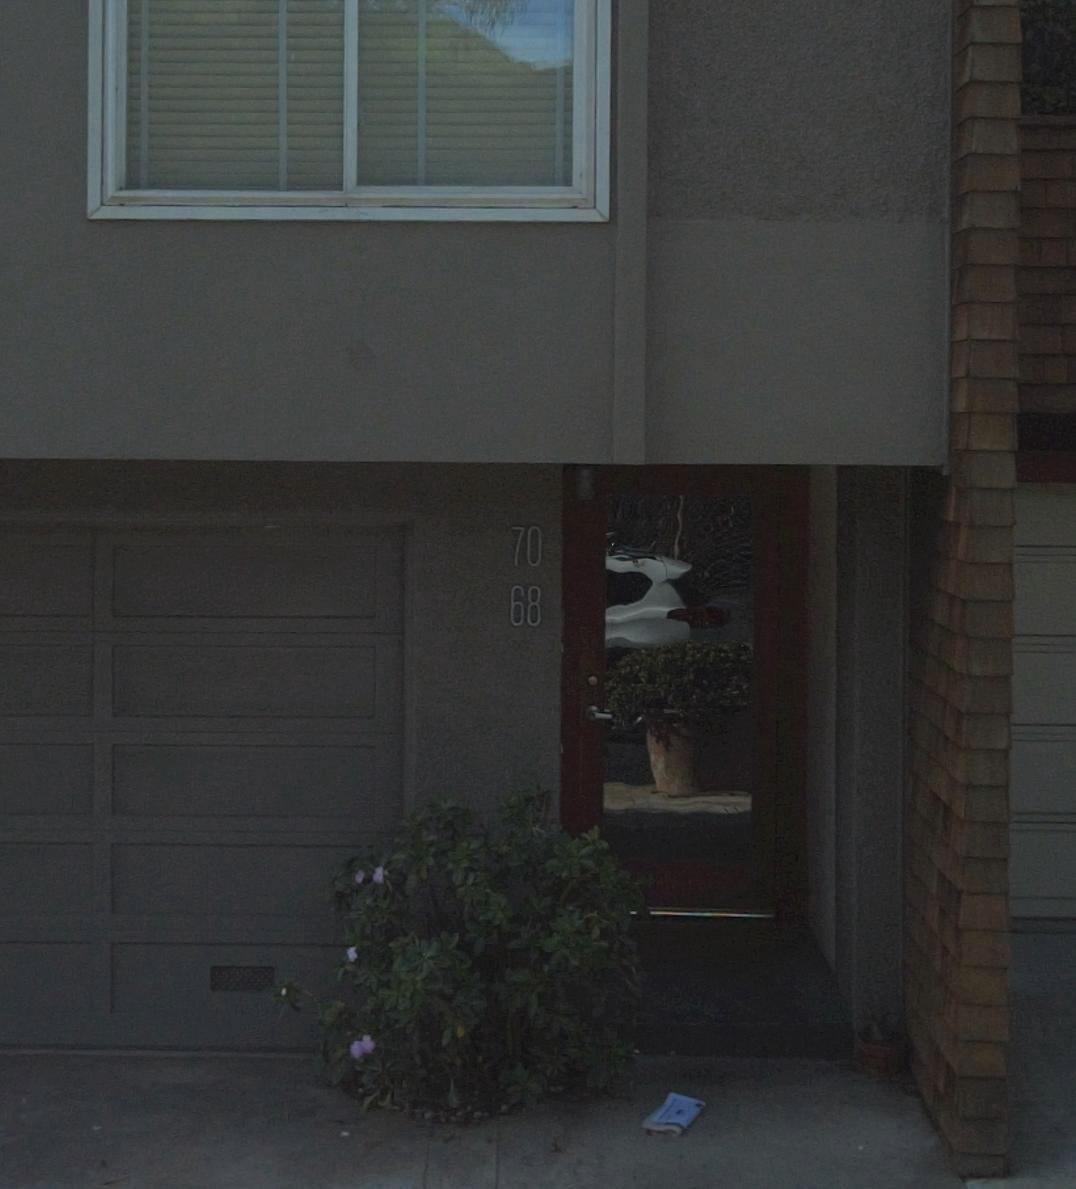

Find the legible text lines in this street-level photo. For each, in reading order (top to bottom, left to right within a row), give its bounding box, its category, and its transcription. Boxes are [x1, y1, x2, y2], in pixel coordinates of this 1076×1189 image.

[509, 524, 543, 569] StreetNumber: 70
[509, 583, 541, 626] StreetNumber: 68